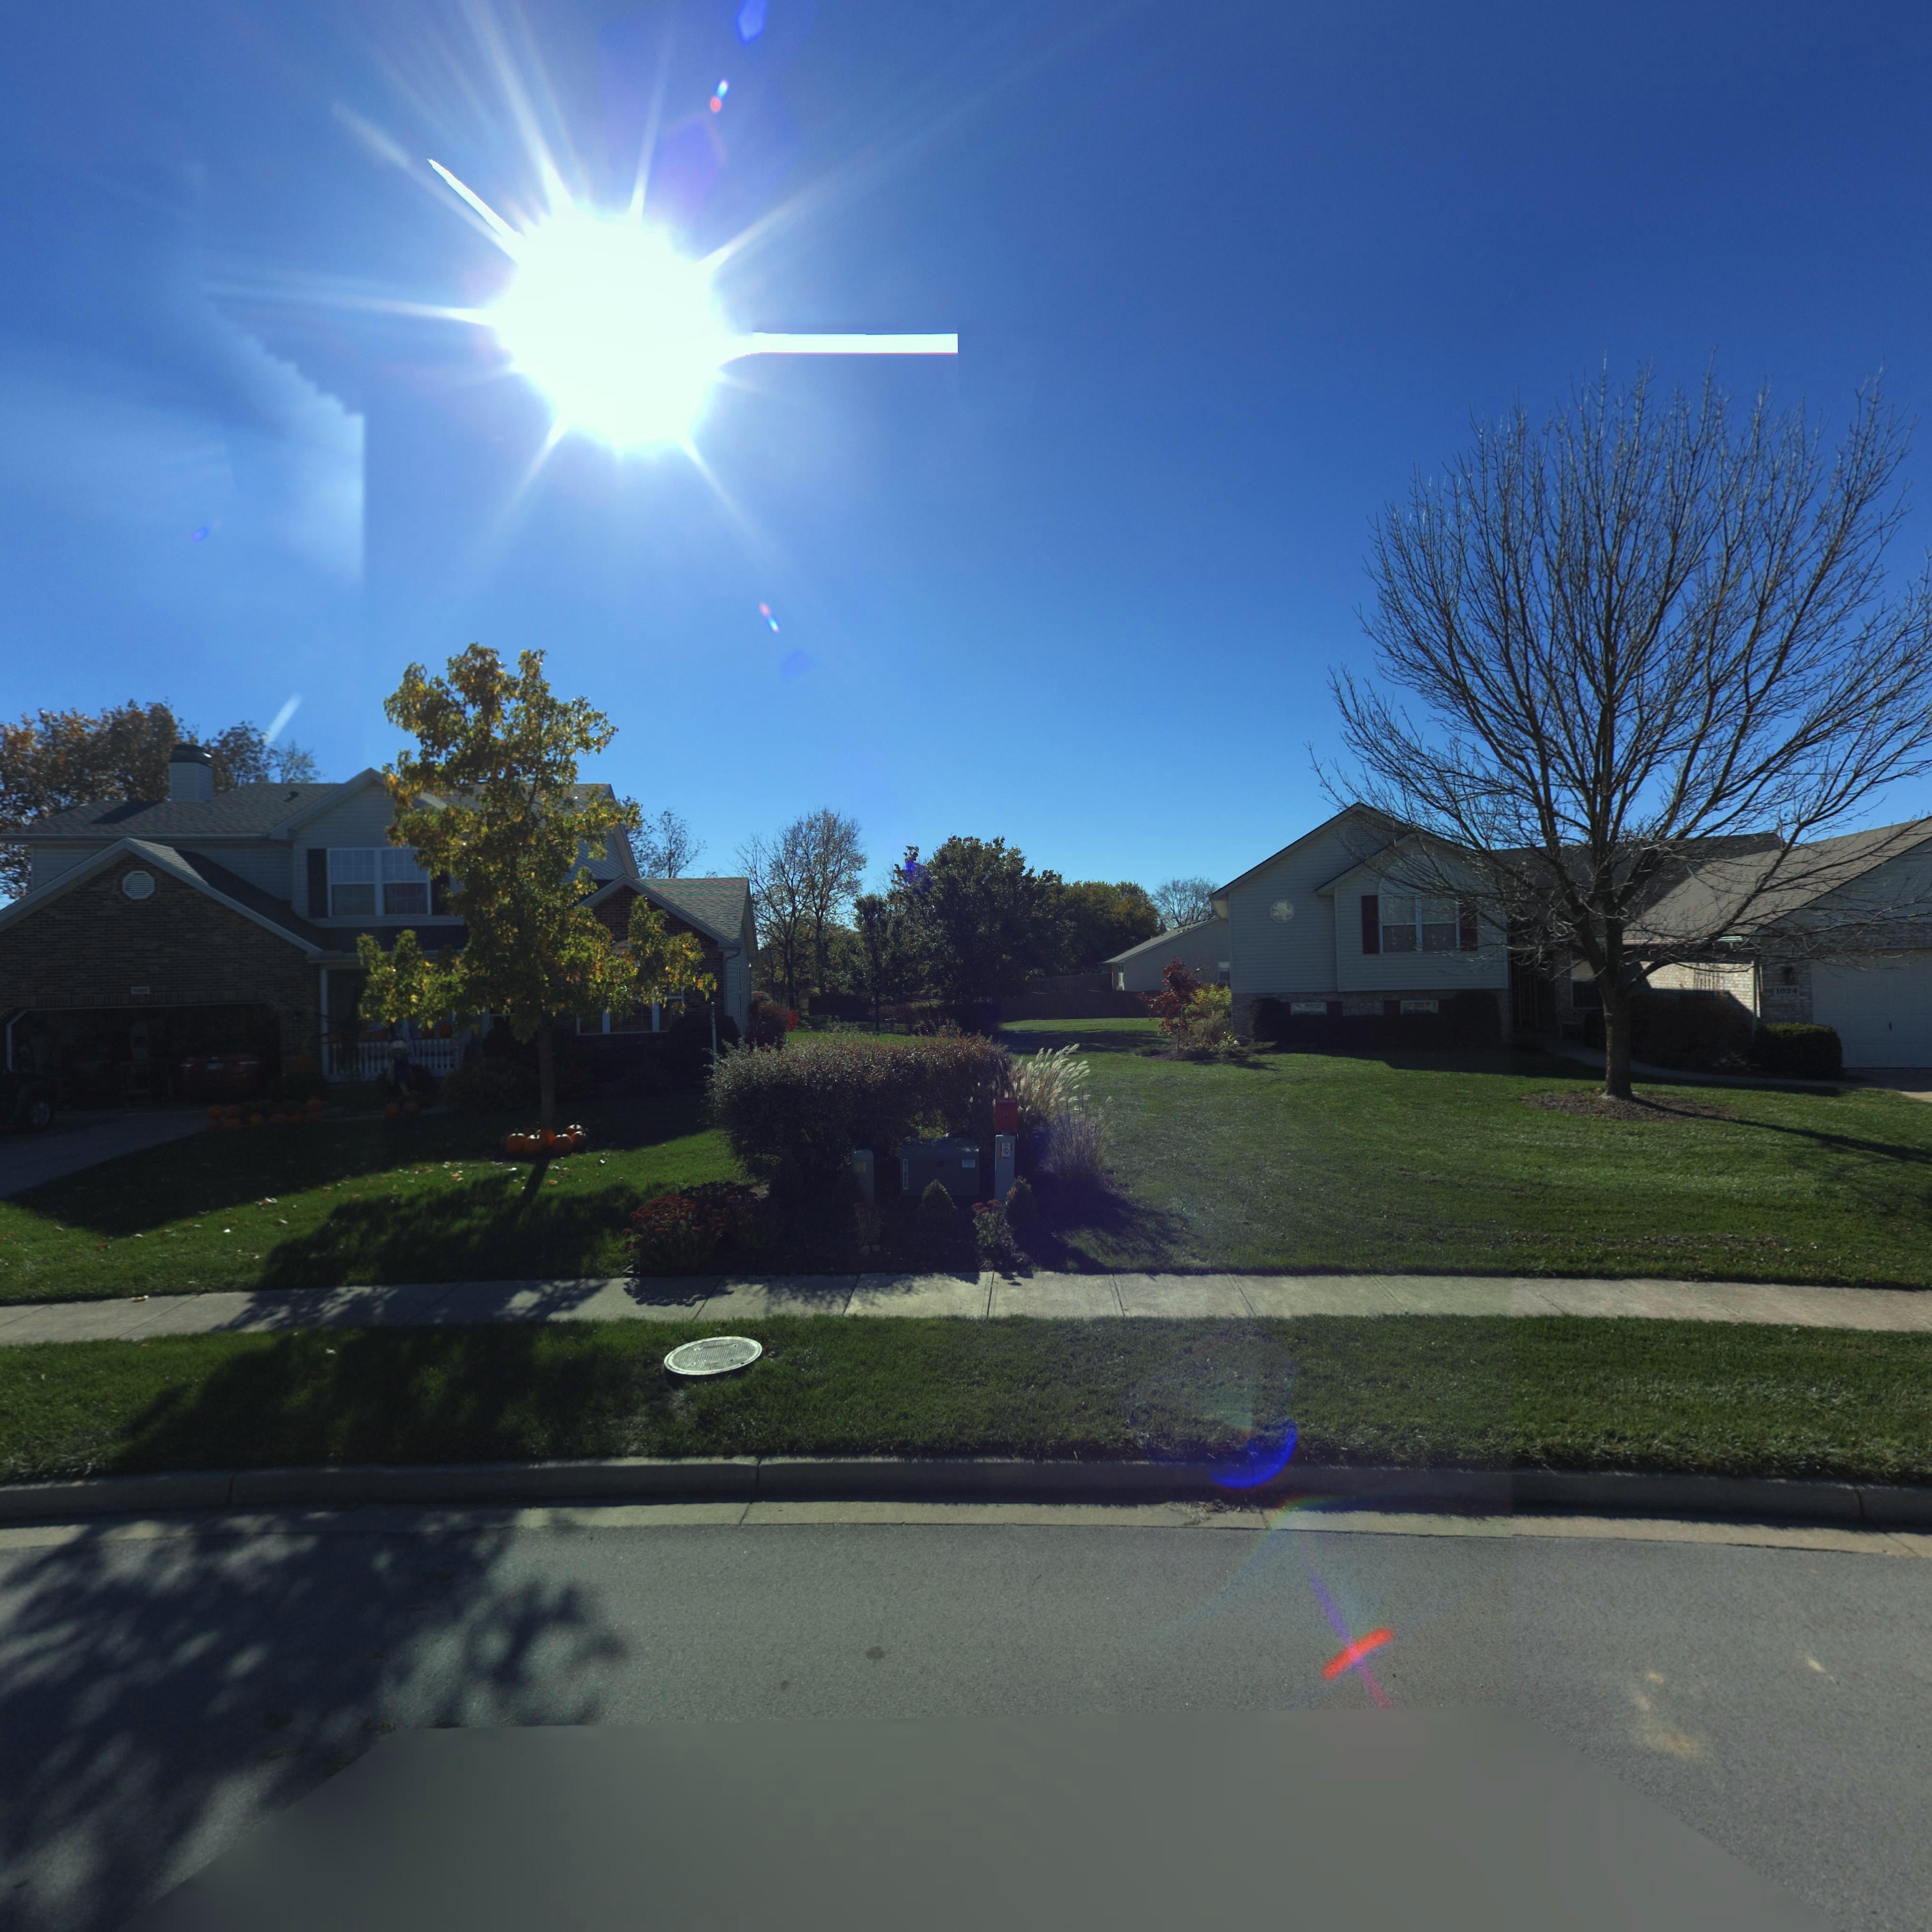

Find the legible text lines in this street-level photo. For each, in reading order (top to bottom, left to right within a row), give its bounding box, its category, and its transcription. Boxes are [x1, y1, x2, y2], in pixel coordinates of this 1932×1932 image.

[1776, 987, 1797, 995] StreetNumber: 1024